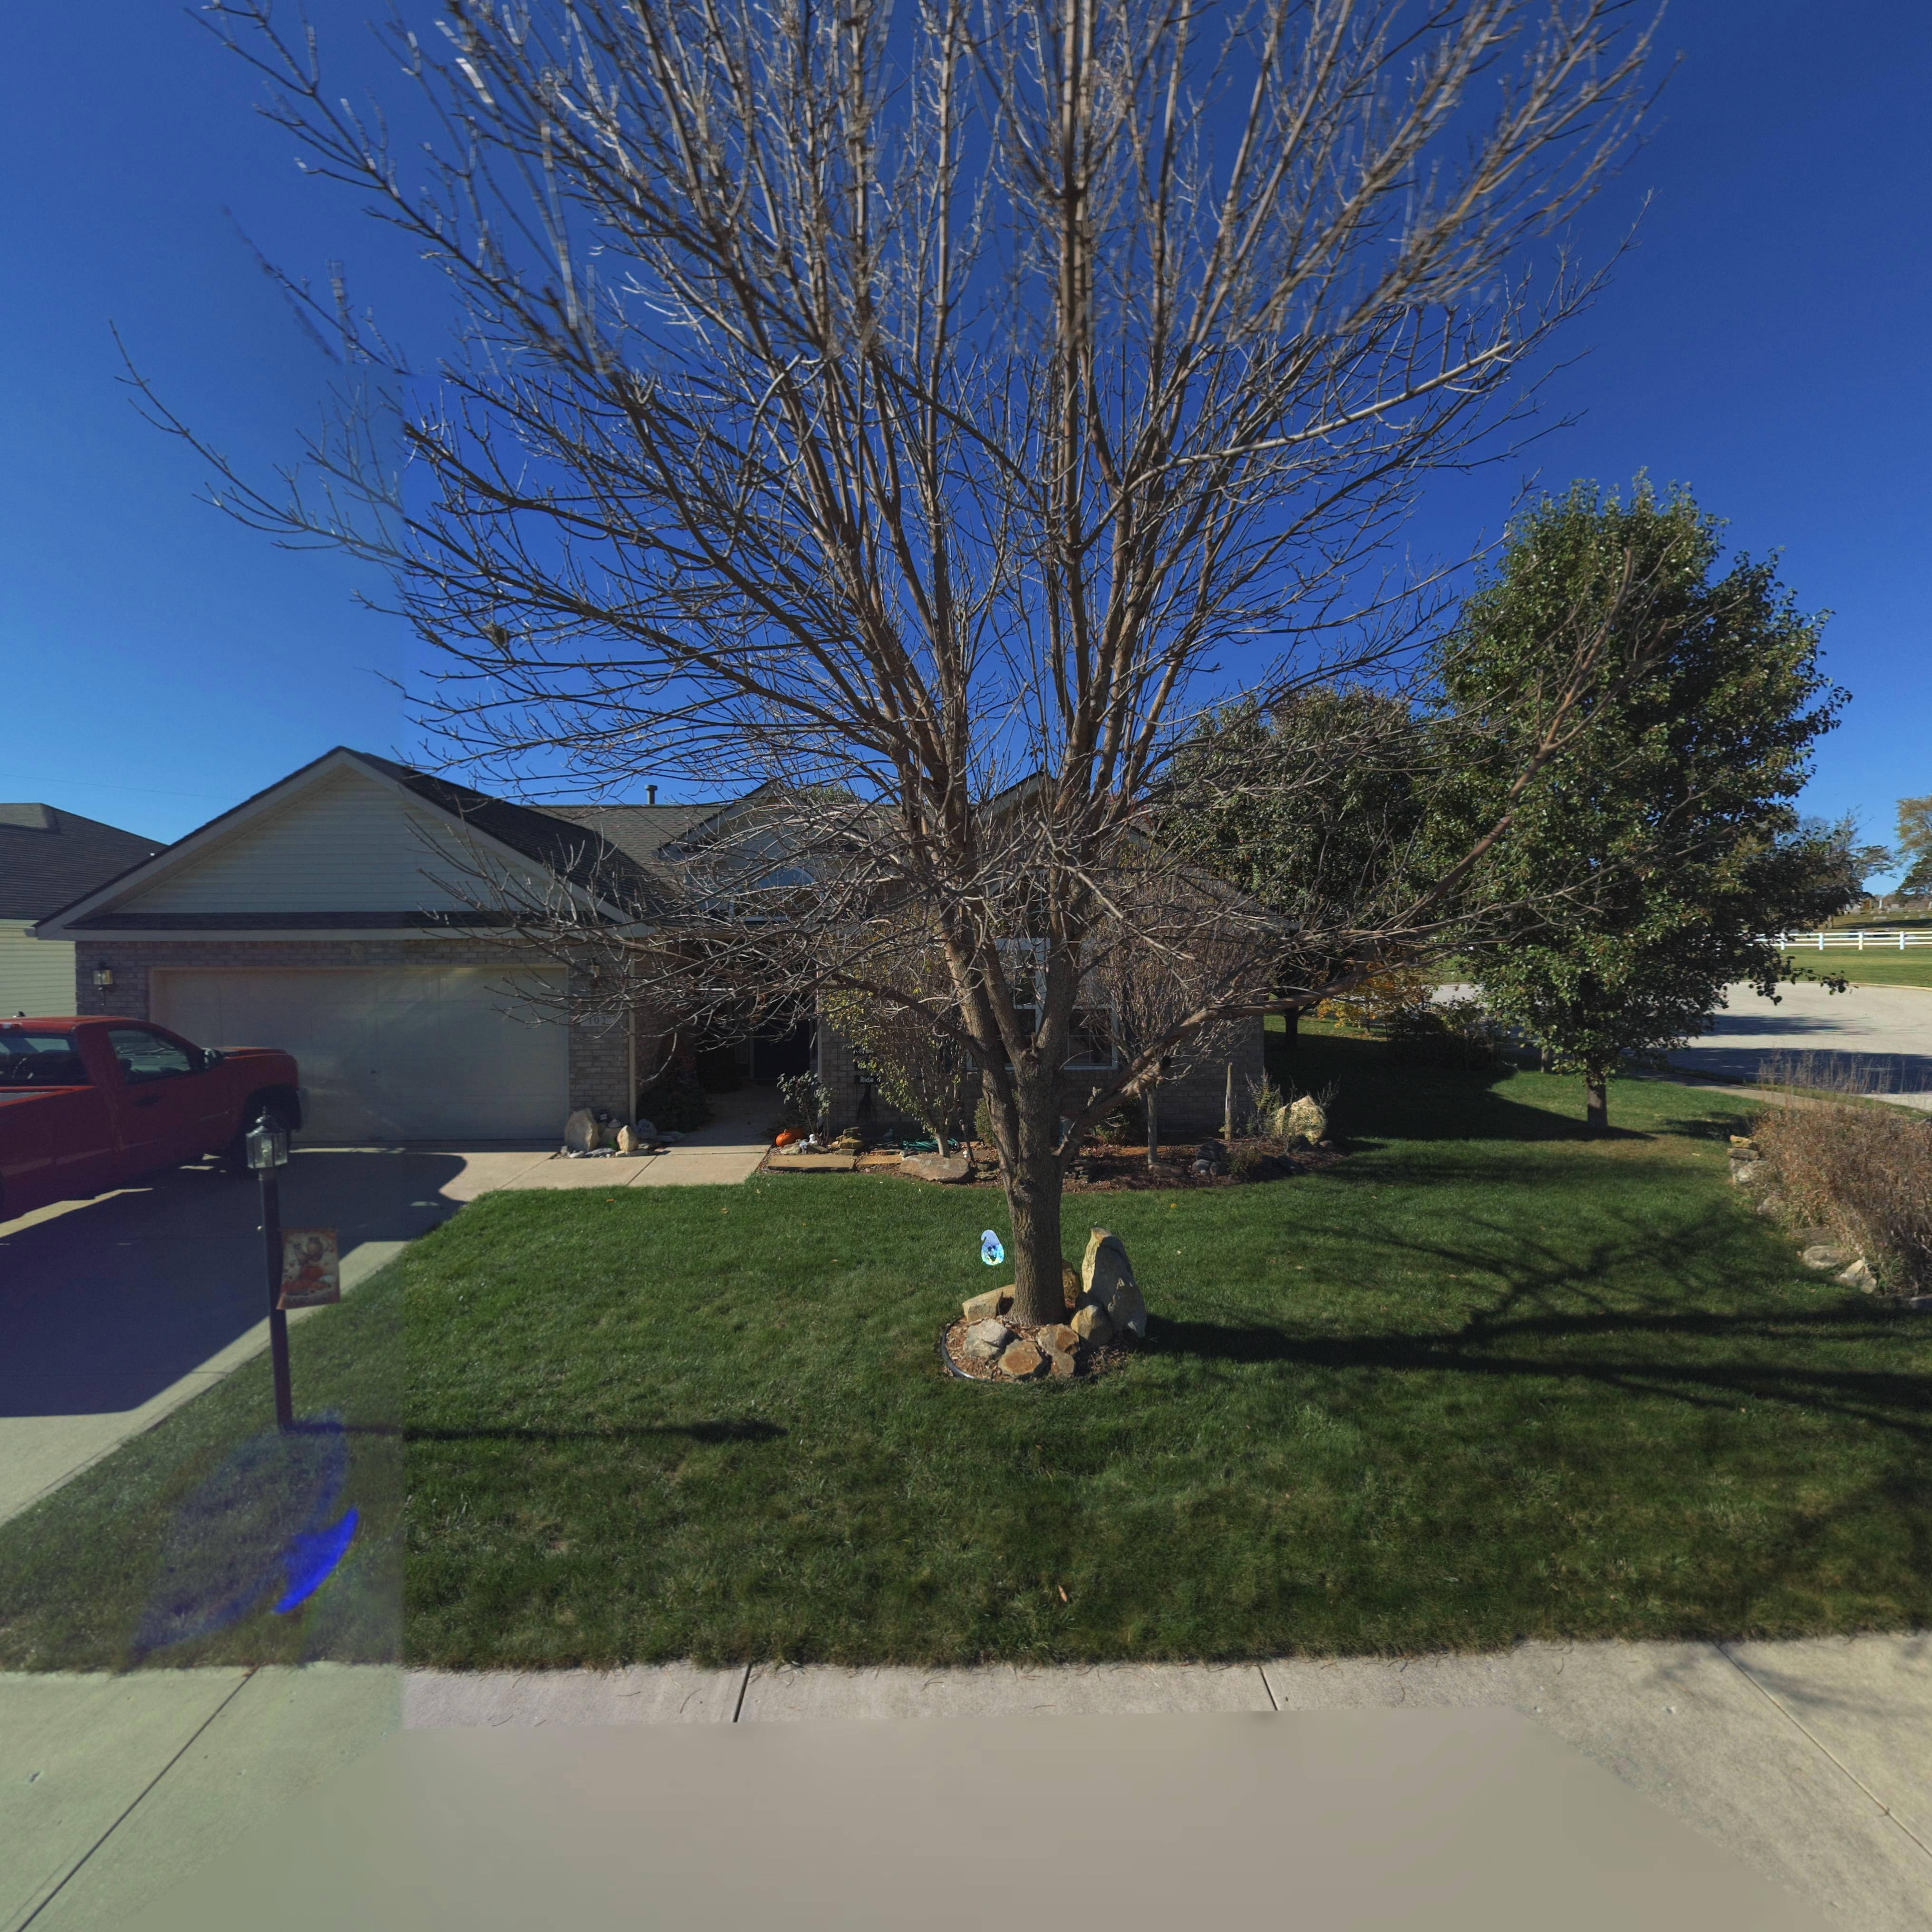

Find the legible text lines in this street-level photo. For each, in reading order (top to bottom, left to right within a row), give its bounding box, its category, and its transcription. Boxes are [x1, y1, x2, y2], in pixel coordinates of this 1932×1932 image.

[589, 1015, 606, 1025] StreetNumber: 102